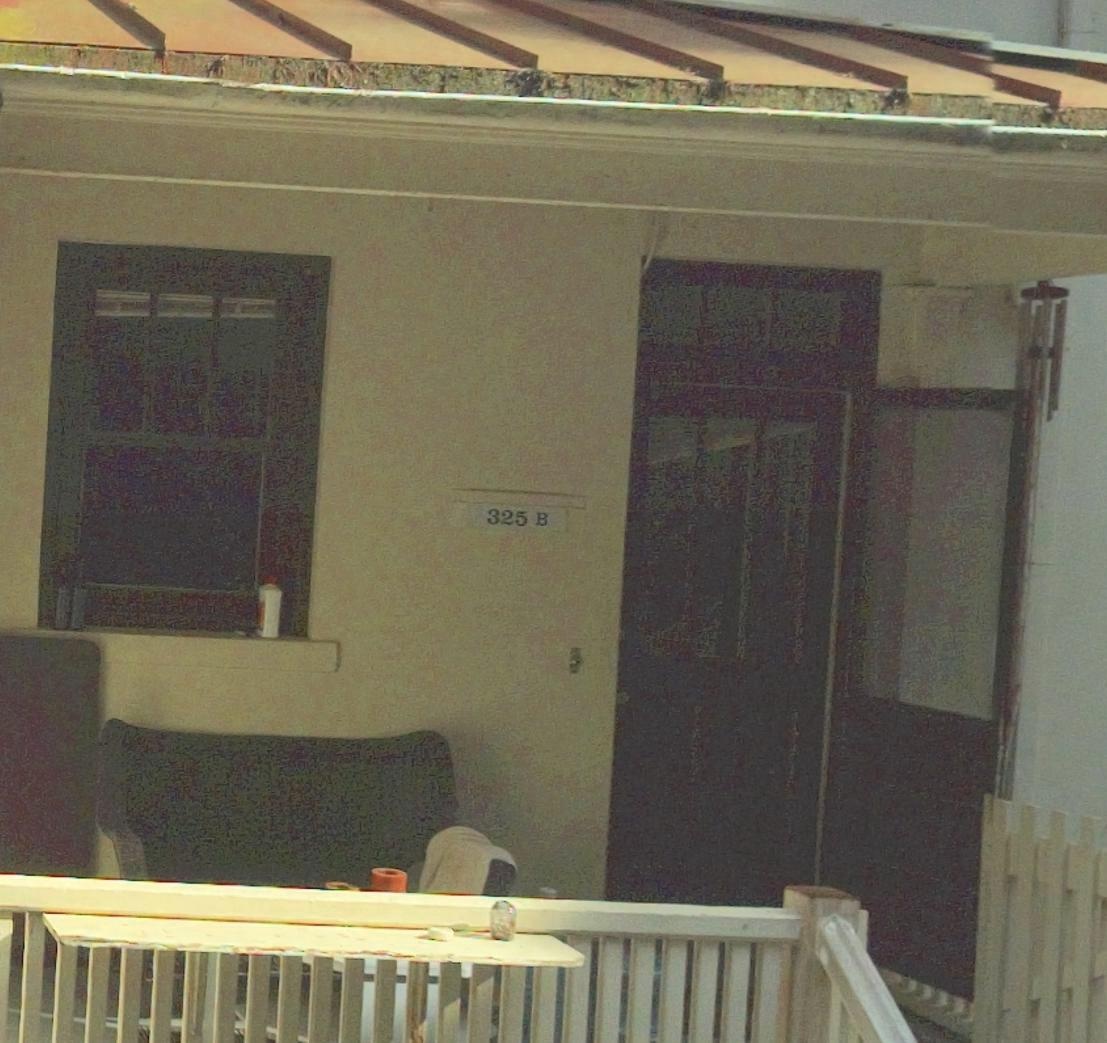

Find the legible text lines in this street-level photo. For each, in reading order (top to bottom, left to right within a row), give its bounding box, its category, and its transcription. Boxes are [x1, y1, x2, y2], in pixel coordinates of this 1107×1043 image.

[485, 507, 550, 528] StreetNumber: 325B